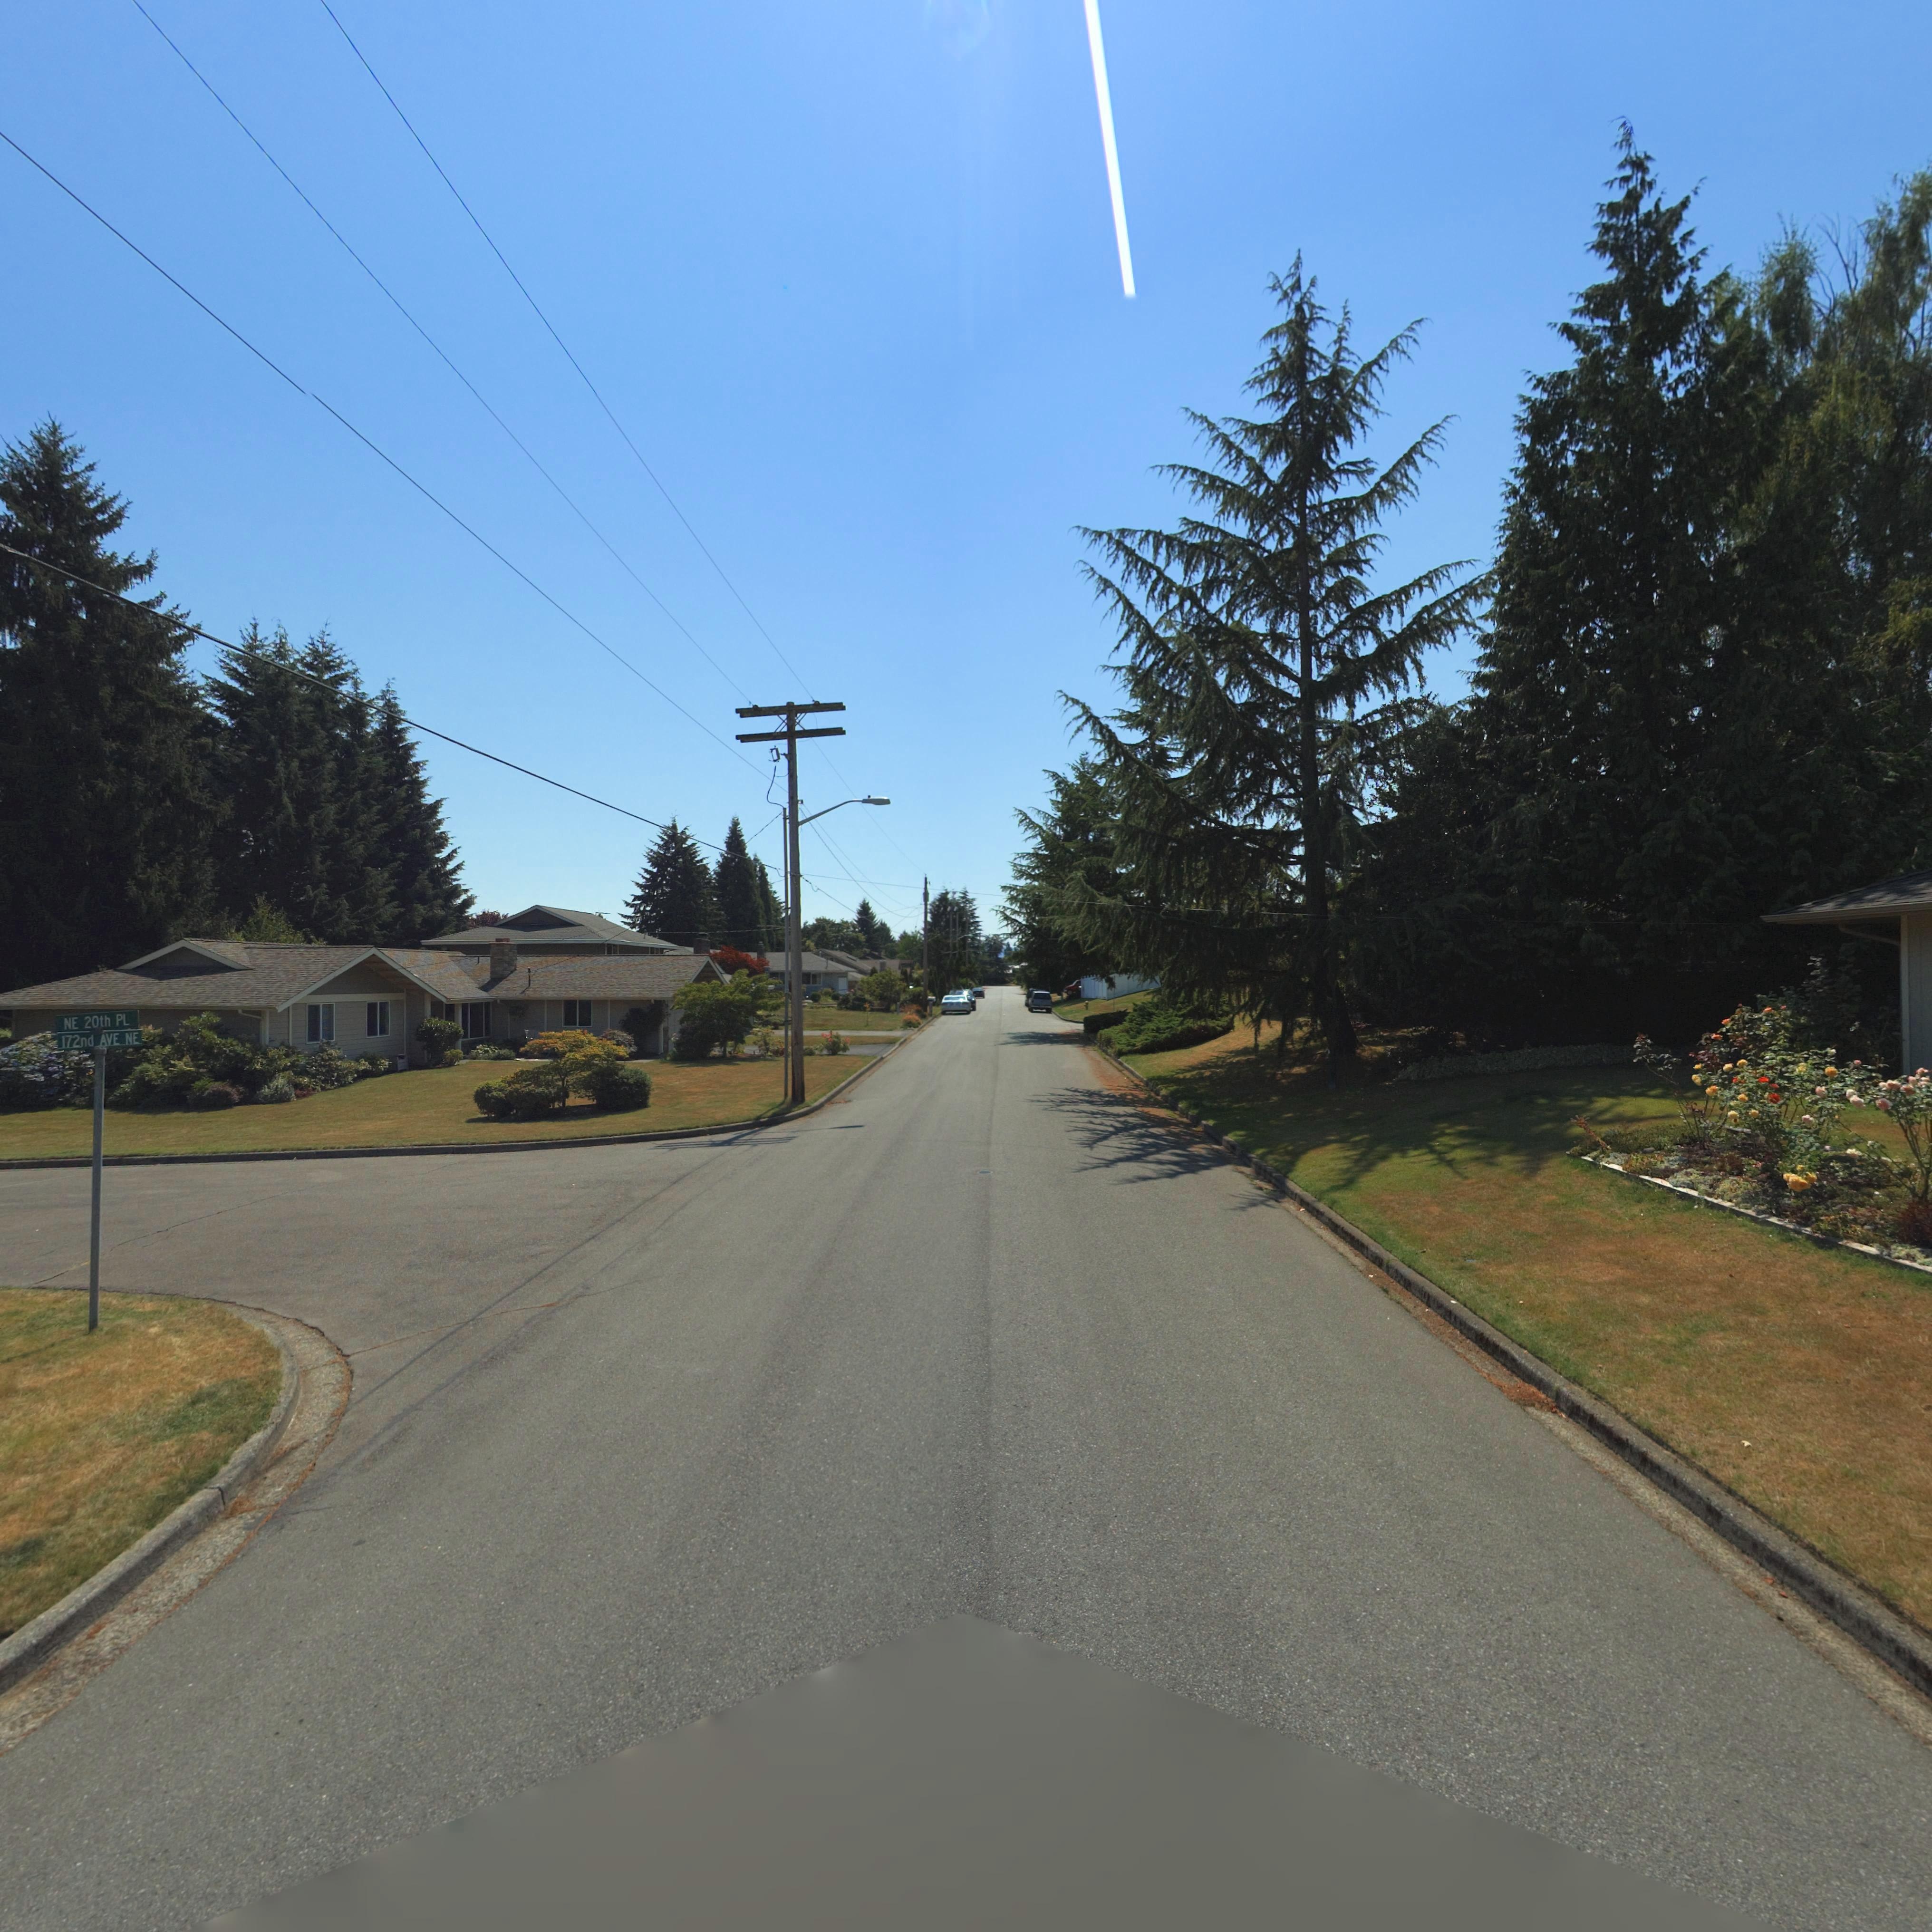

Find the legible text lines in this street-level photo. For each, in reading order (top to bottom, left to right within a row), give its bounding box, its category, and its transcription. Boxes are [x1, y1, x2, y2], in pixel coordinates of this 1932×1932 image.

[64, 1014, 129, 1029] StreetName: NE 20th PL
[60, 1032, 139, 1048] StreetName: 172nd AVE NE